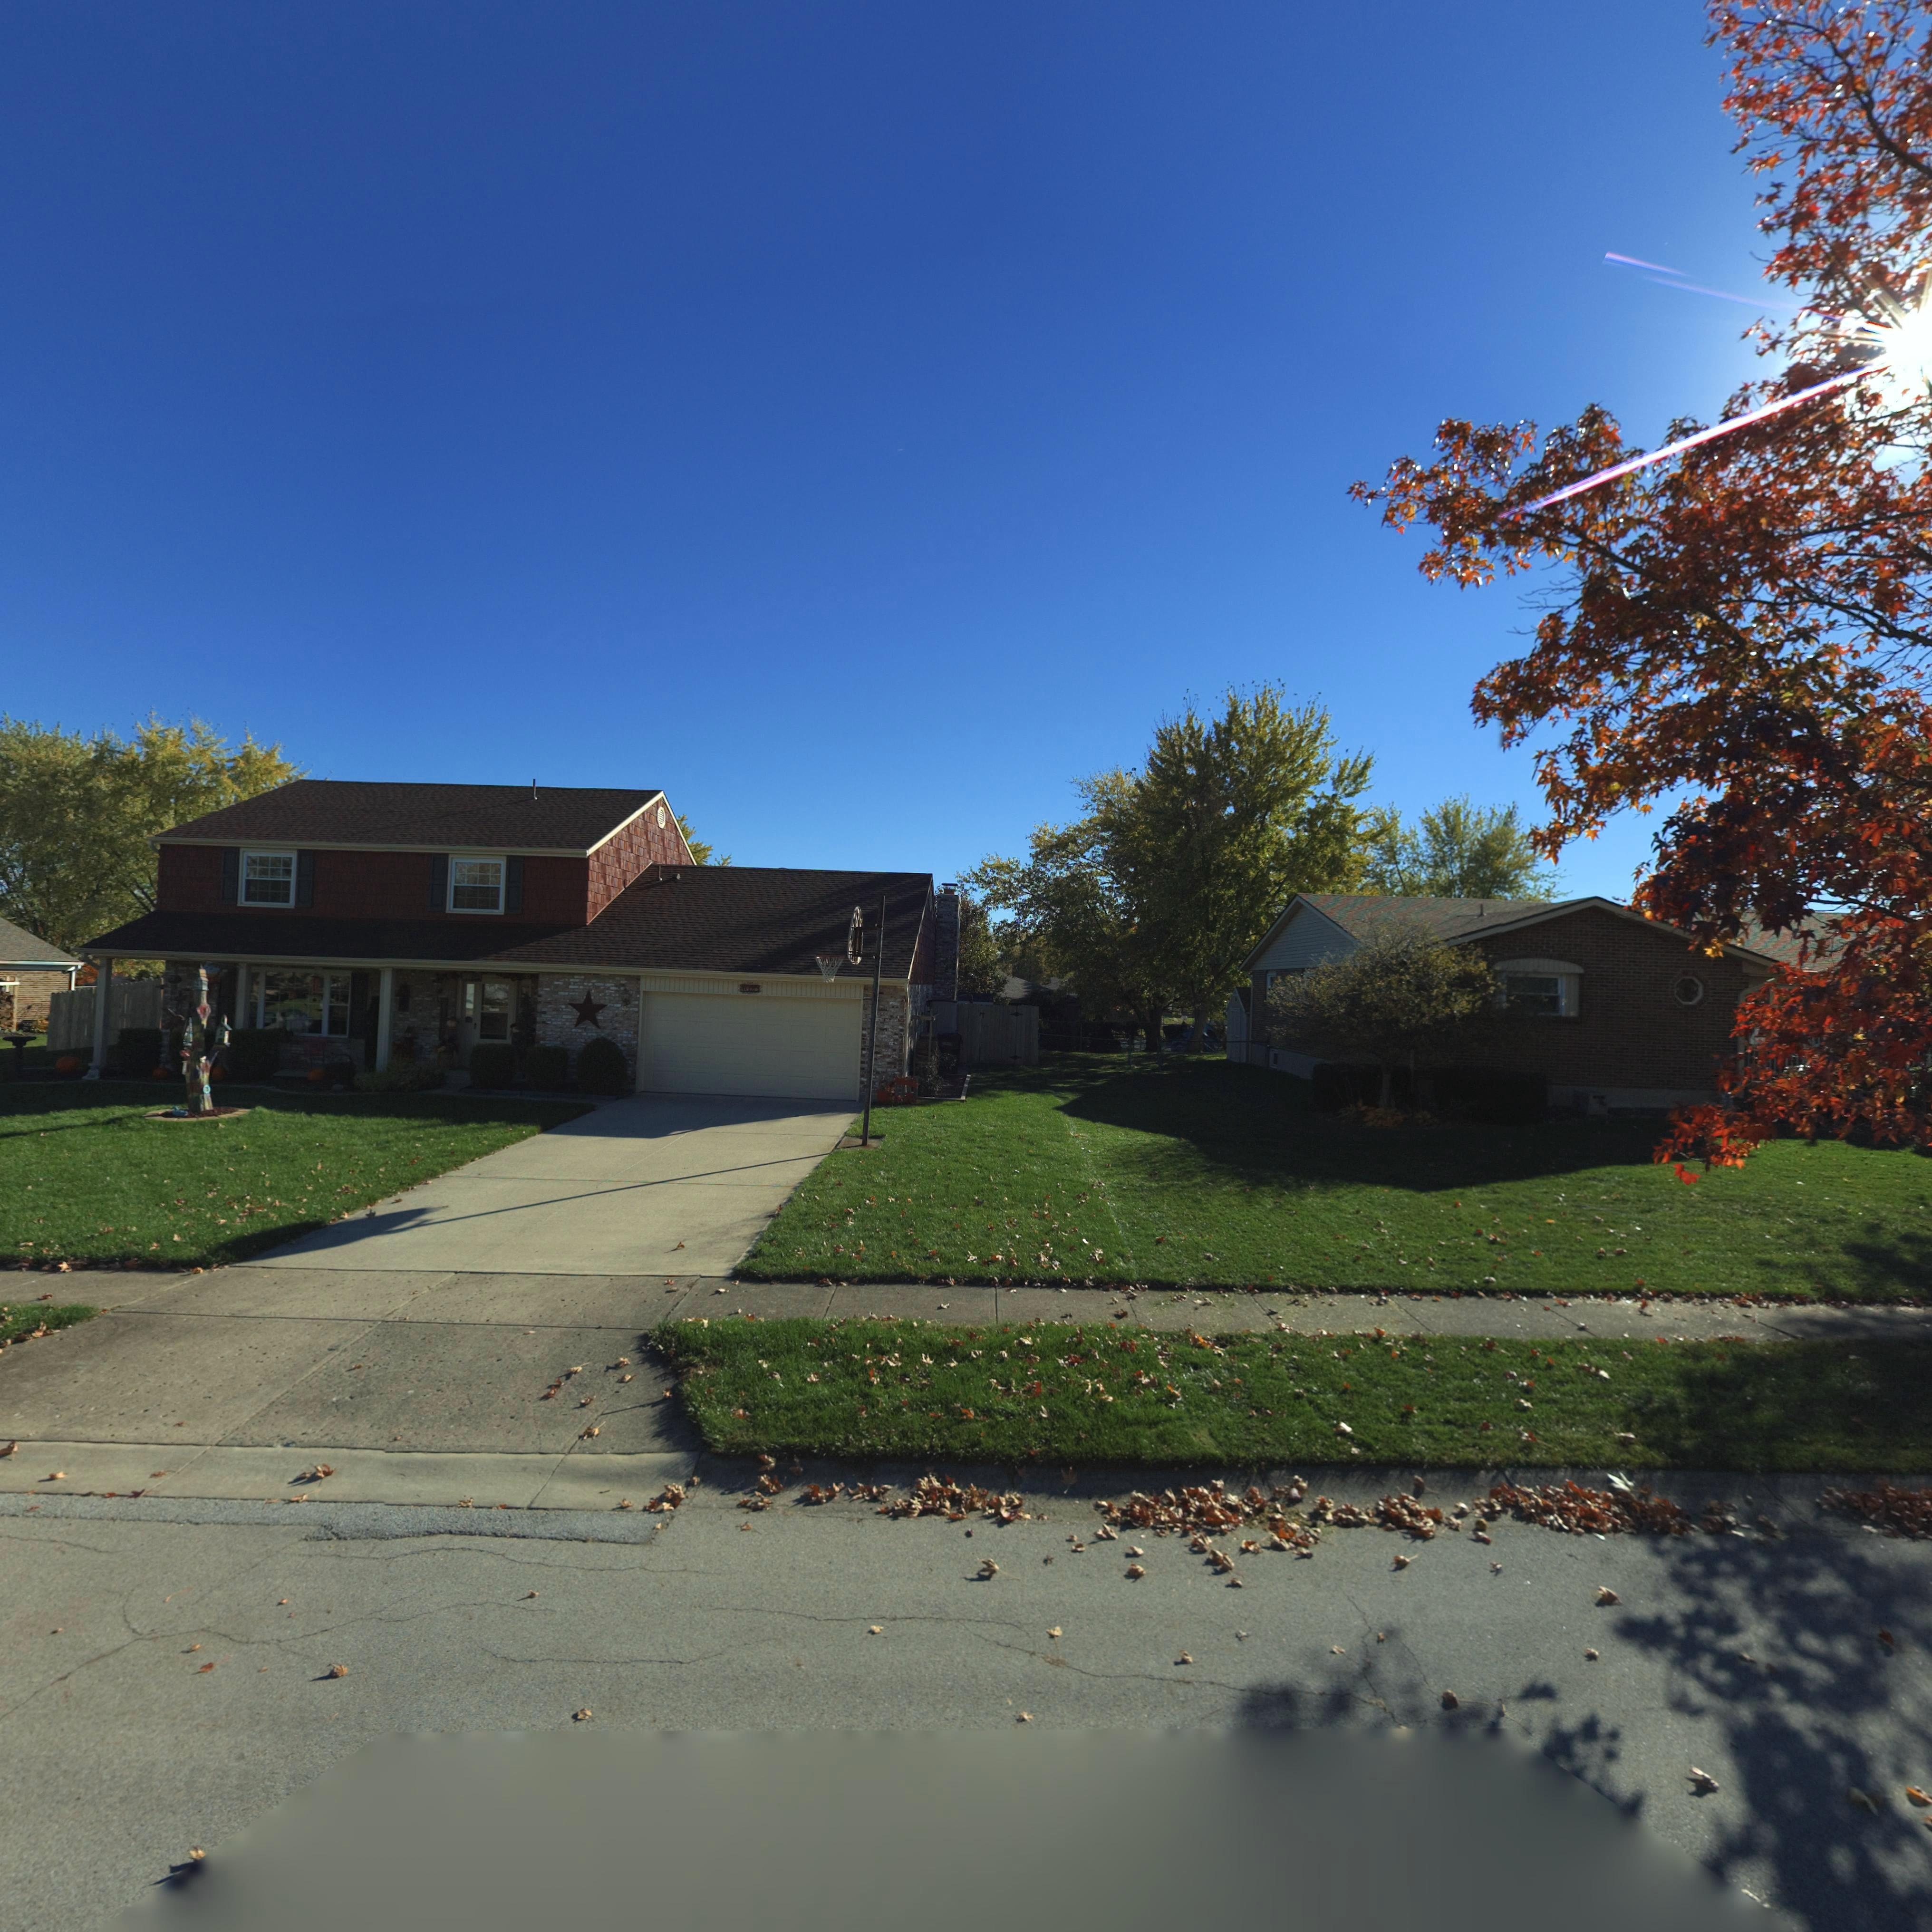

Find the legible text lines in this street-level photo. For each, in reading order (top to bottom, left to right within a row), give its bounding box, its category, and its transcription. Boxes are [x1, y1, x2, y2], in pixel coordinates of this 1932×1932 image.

[740, 985, 759, 992] StreetNumber: 4622